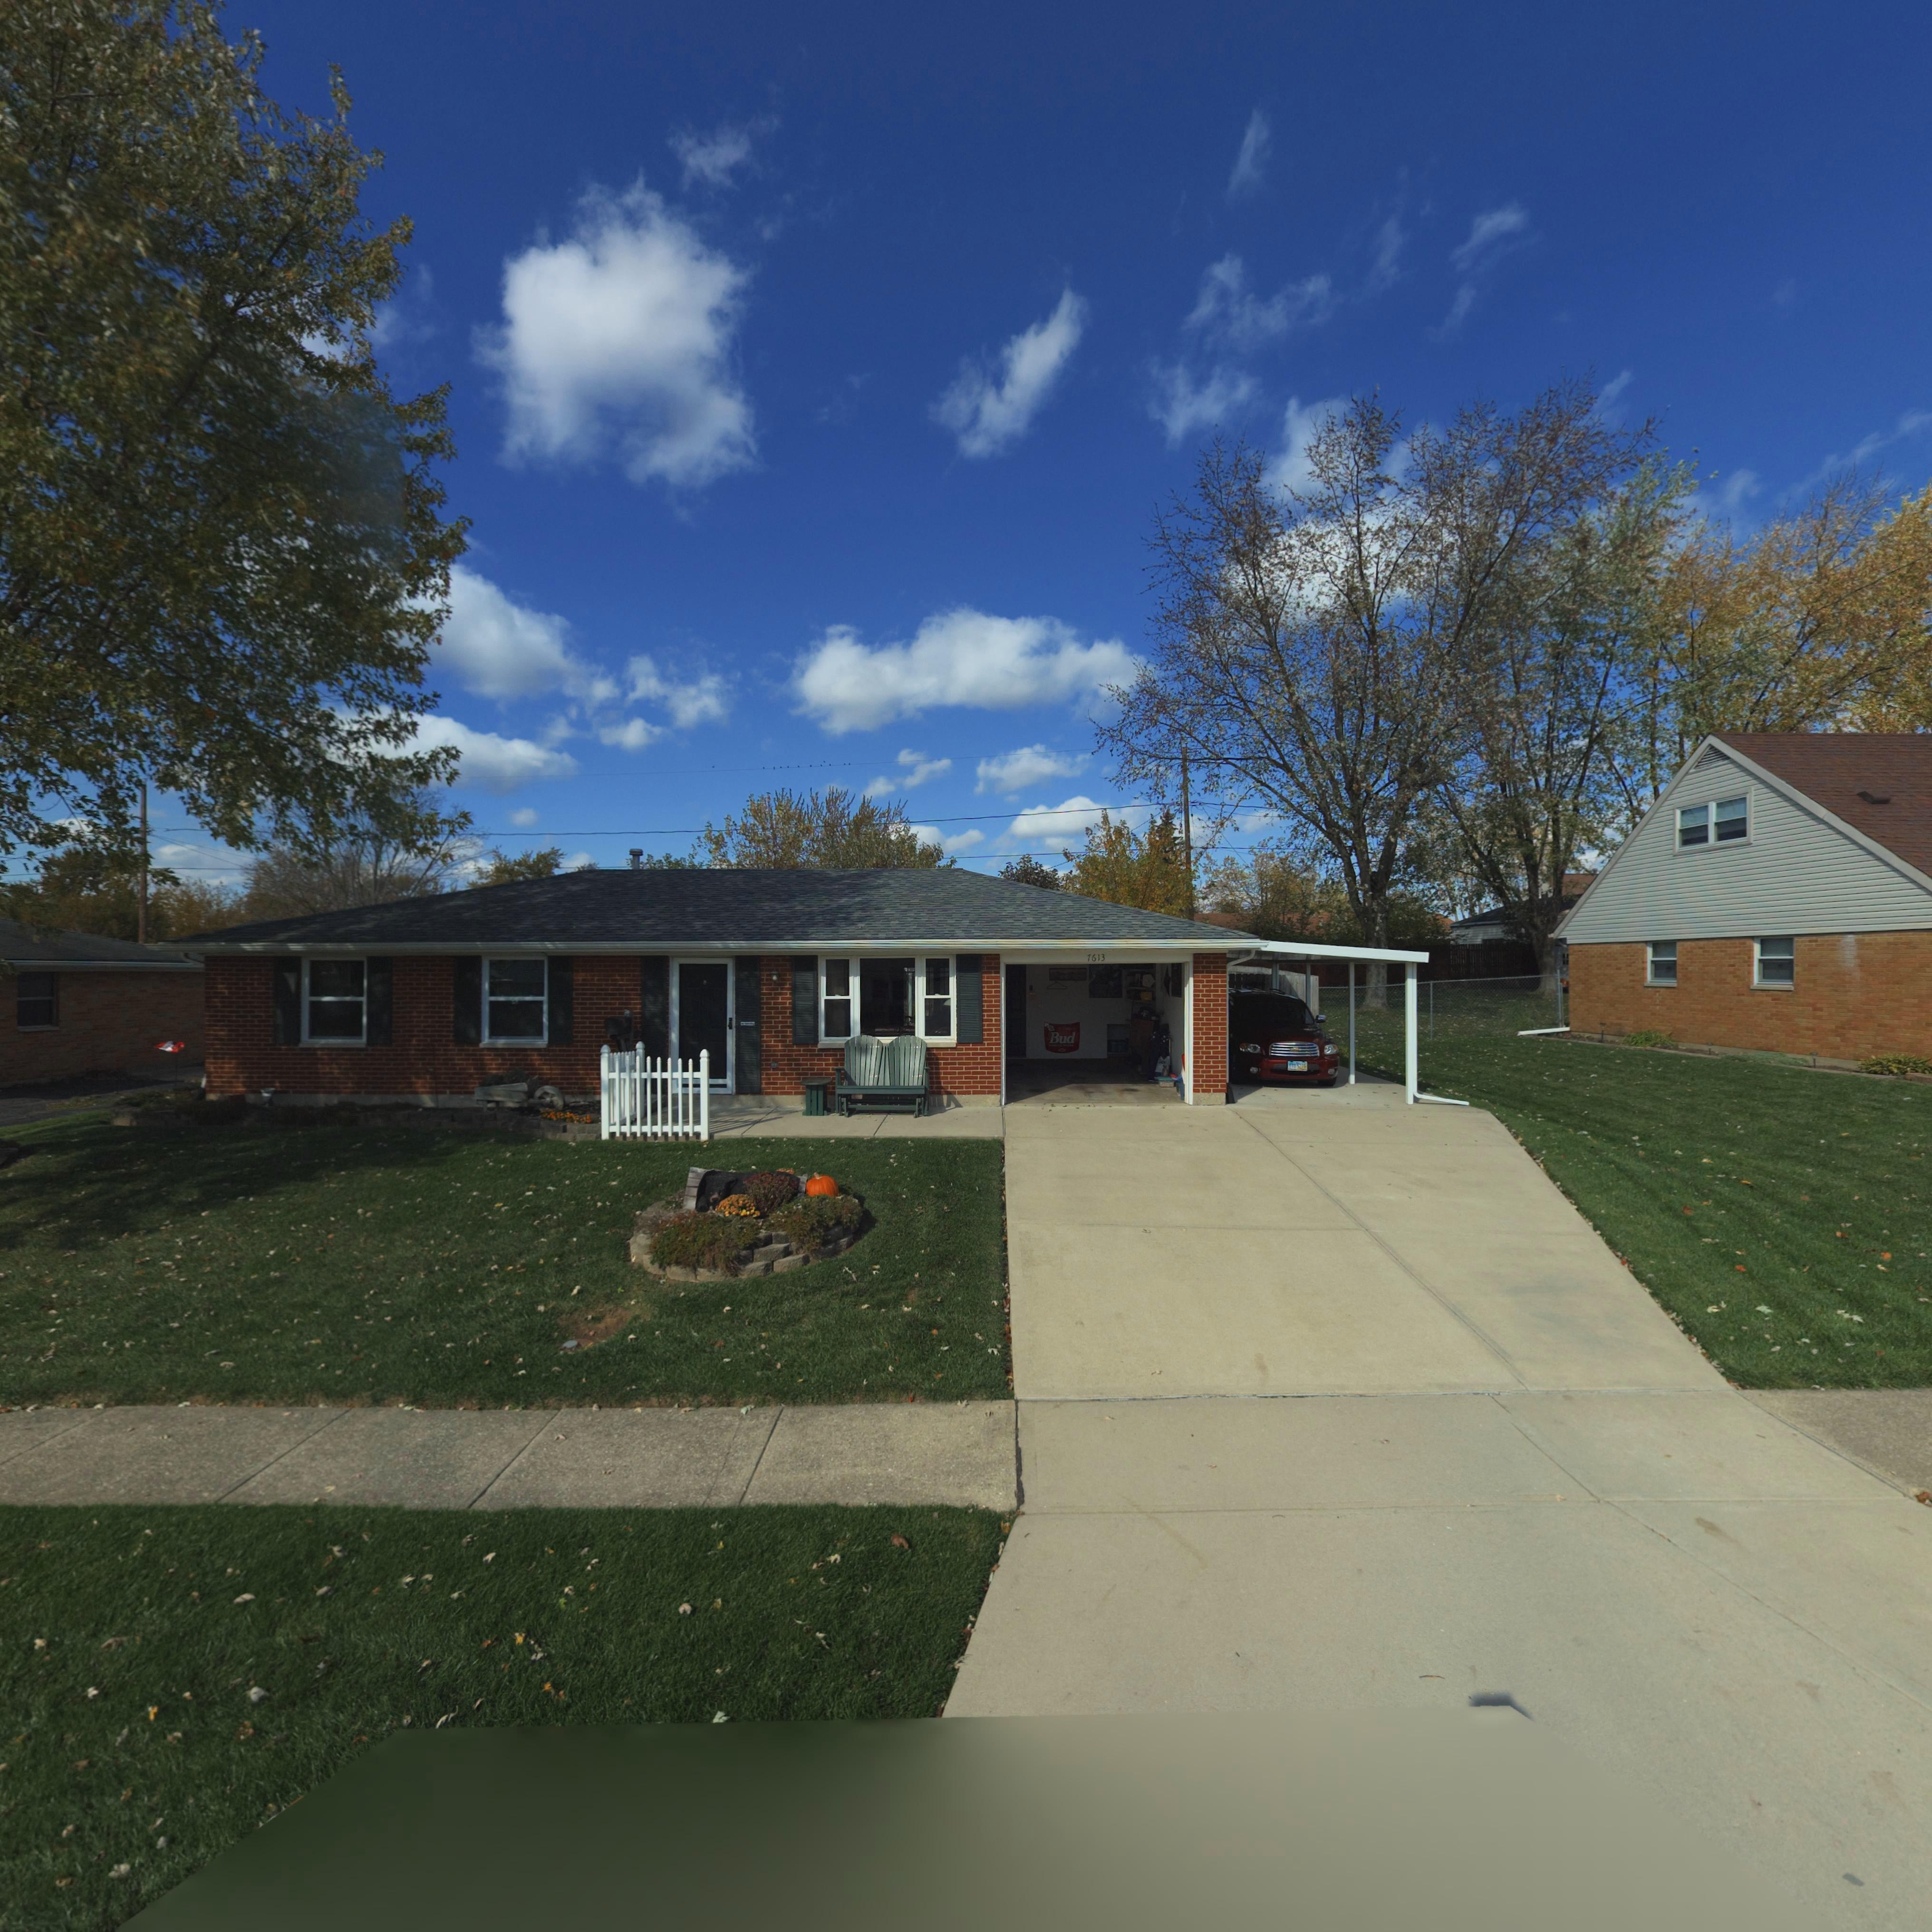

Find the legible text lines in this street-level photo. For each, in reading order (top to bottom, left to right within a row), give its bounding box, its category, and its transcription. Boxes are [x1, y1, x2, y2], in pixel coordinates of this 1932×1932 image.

[1087, 953, 1105, 962] StreetNumber: 7613